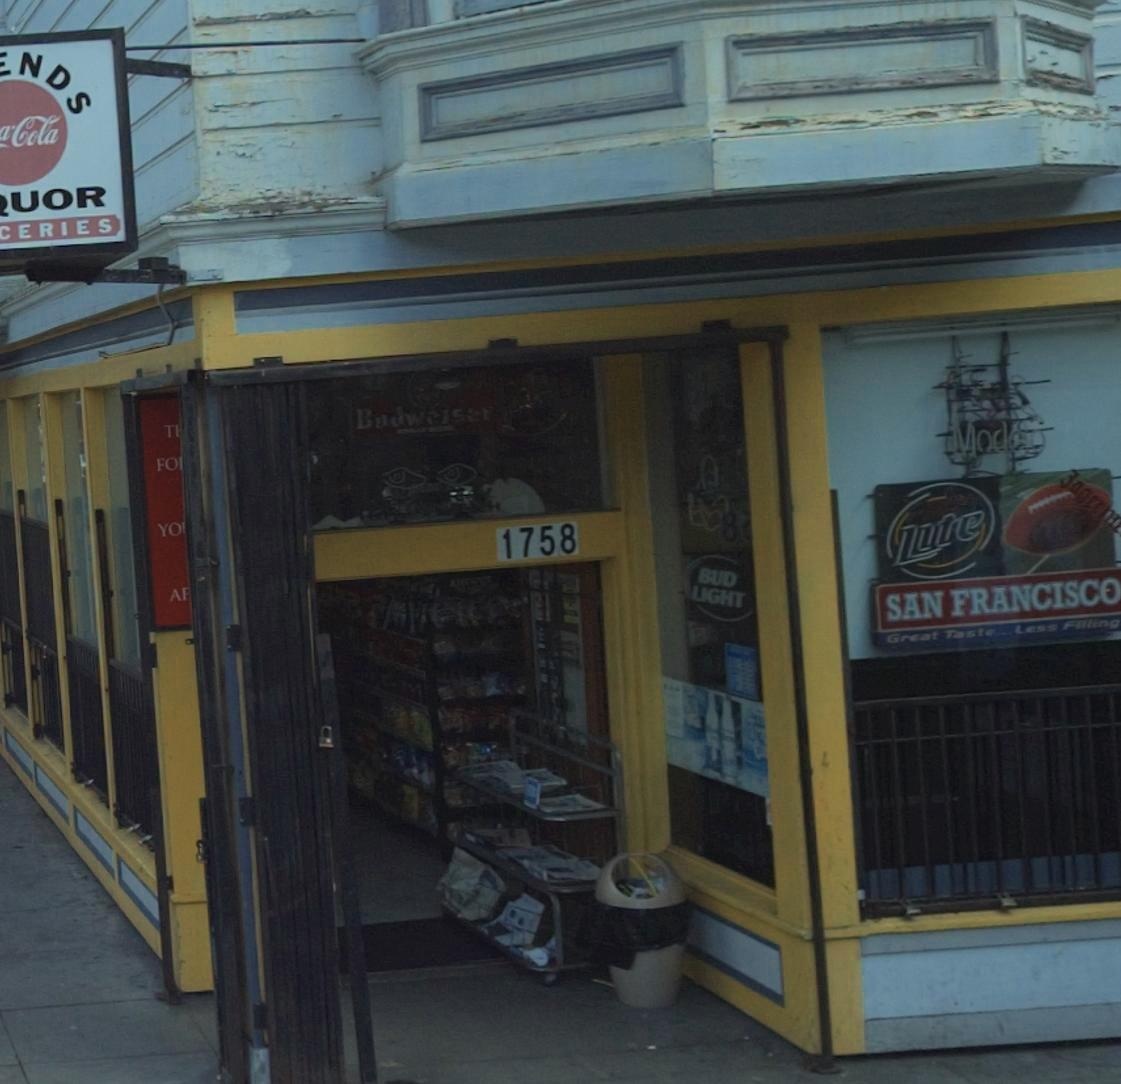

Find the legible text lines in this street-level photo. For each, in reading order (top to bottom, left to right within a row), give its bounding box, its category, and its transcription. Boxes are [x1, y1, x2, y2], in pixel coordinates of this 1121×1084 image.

[15, 48, 94, 118] BusinessName: NDS
[10, 113, 62, 151] None: Cola
[6, 183, 109, 216] None: UOR
[14, 215, 114, 243] None: ERIES
[160, 422, 177, 441] None: T
[353, 403, 499, 434] None: B*d******
[154, 454, 180, 474] None: FO
[1057, 464, 1121, 532] None: ******H
[154, 519, 183, 540] None: YO
[497, 519, 580, 564] StreetNumber: 1758
[718, 507, 742, 545] None: 8
[890, 507, 988, 569] None: Lite
[694, 564, 740, 590] None: BUD
[165, 586, 184, 604] None: A
[688, 582, 749, 611] None: LIGHT
[883, 575, 1121, 624] None: SAN FRANCISCO
[883, 615, 1111, 647] None: Great Taste... Less Fillin